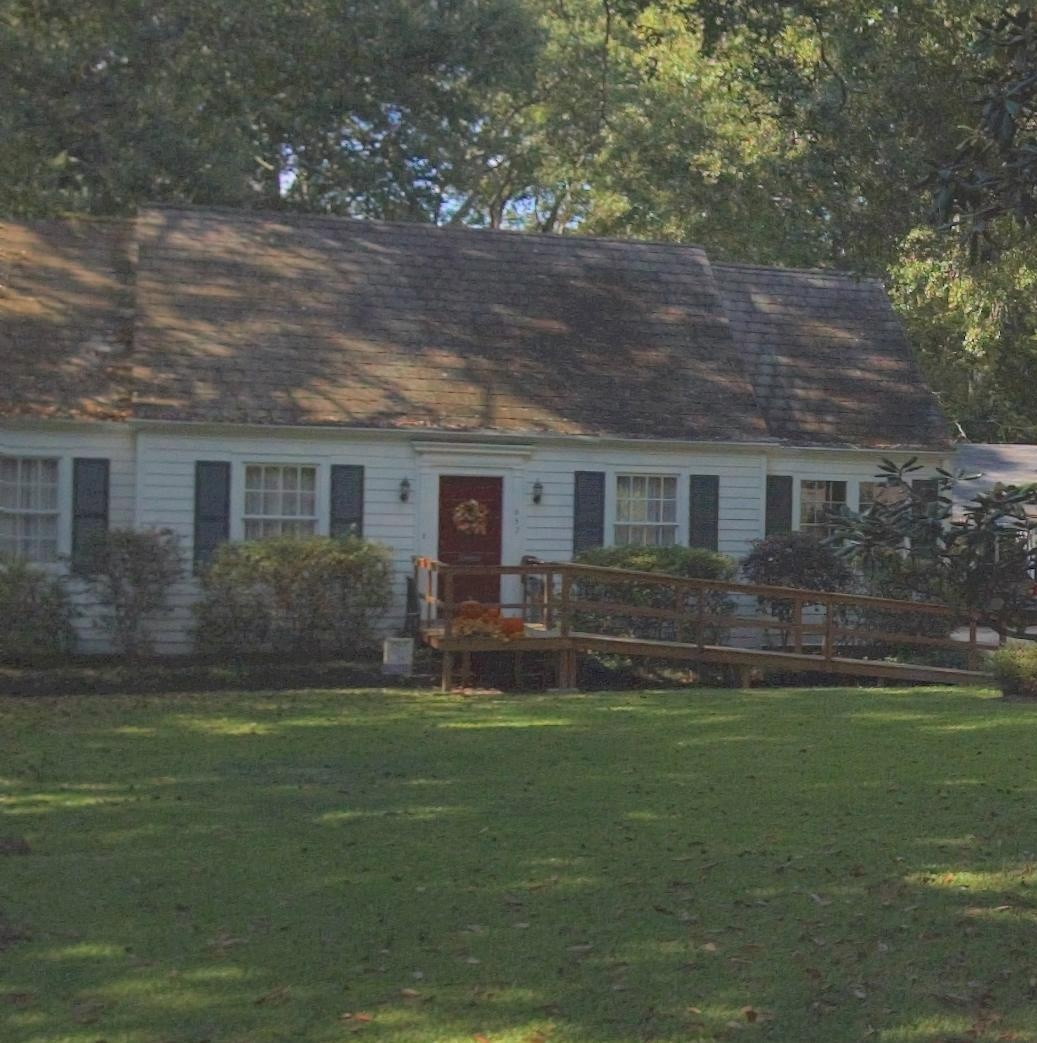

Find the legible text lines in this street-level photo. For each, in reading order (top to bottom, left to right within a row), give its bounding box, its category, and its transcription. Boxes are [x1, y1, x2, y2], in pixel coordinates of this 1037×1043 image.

[513, 508, 520, 535] StreetNumber: 657